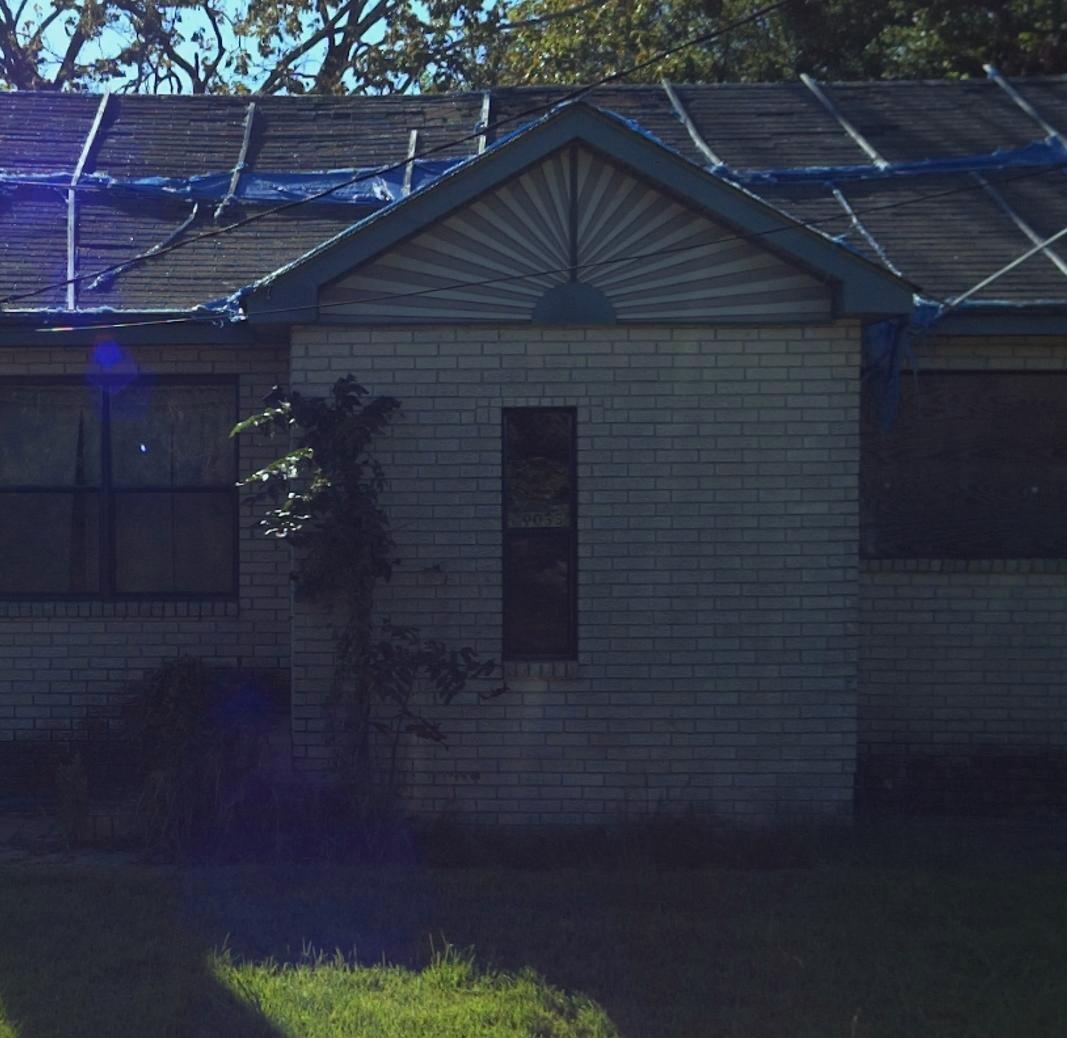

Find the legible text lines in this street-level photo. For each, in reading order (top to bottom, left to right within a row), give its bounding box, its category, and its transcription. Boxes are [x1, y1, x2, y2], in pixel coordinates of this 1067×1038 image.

[520, 512, 565, 528] StreetNumber: 9033